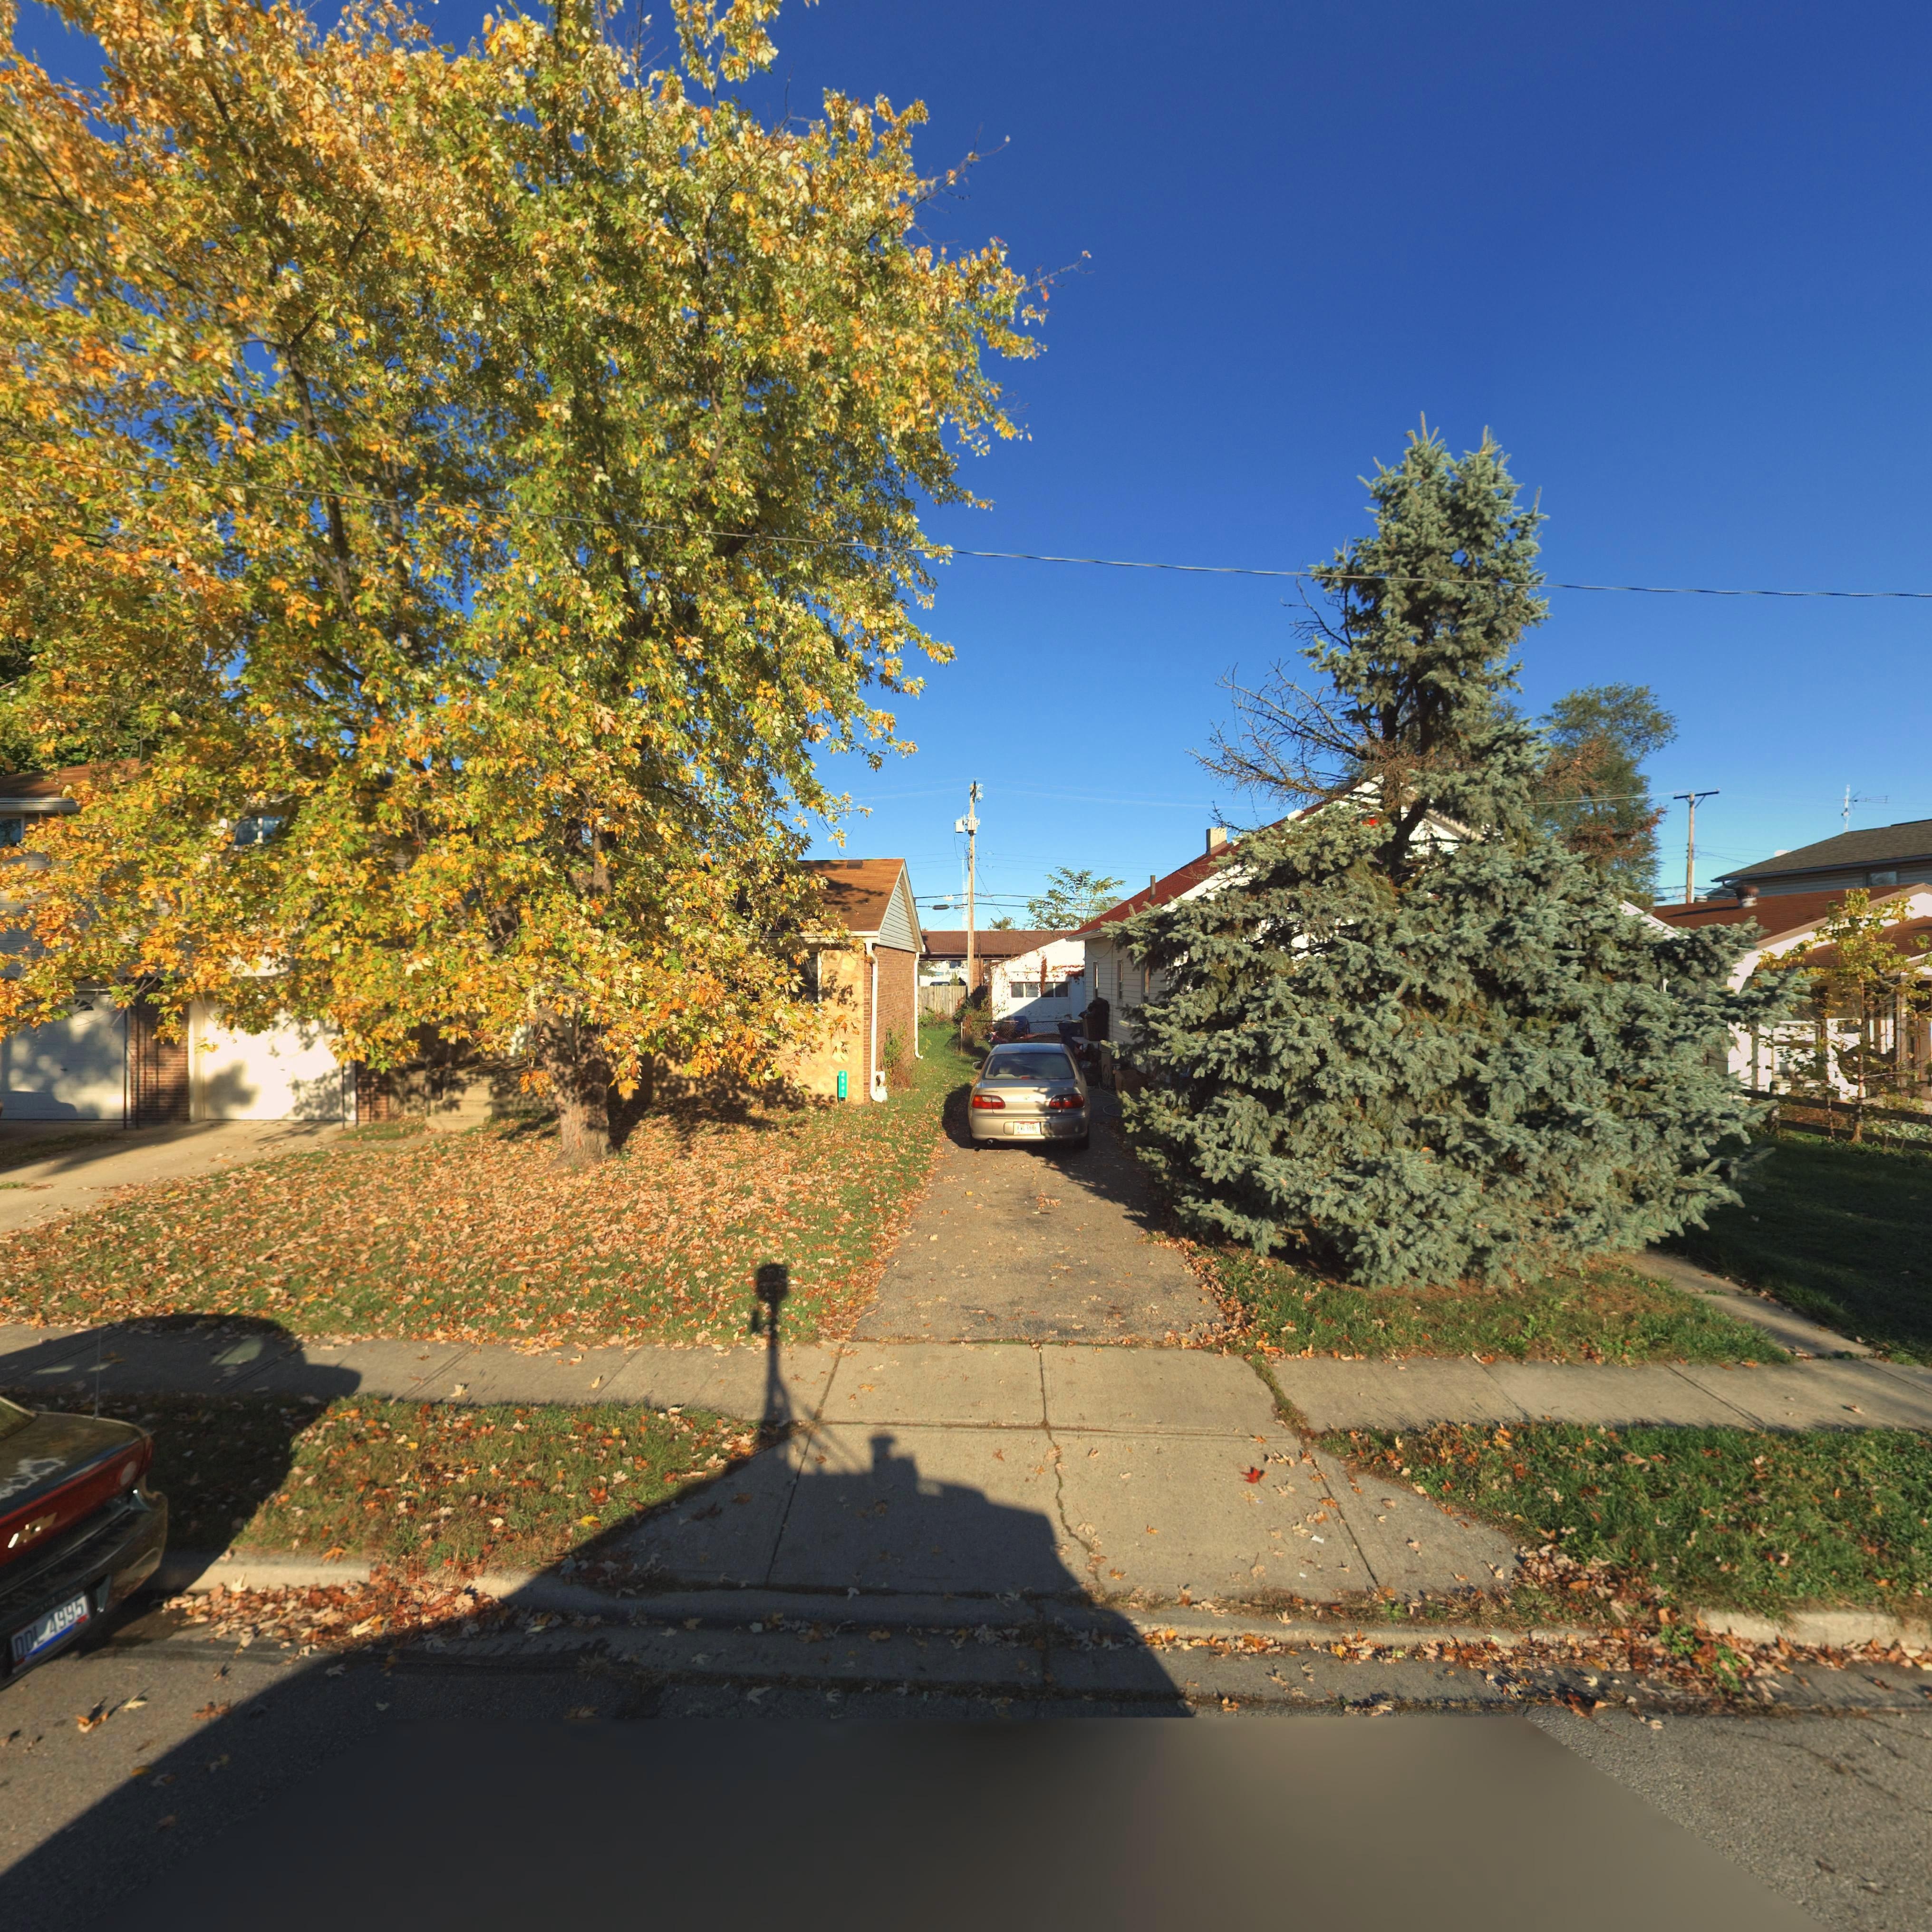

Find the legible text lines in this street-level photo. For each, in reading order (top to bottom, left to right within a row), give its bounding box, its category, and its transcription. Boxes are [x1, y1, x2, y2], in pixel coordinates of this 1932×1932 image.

[840, 1071, 845, 1098] StreetNumber: 4541